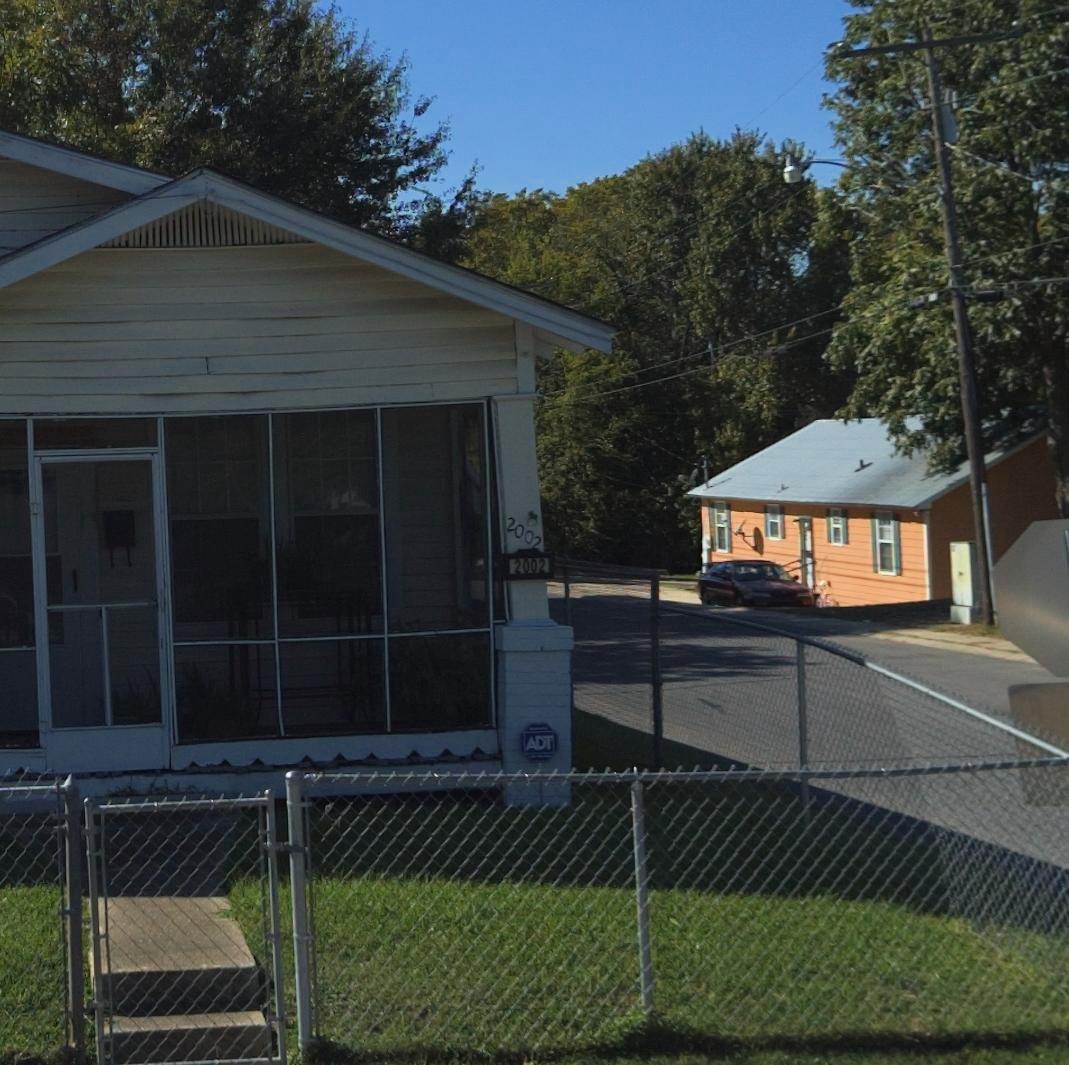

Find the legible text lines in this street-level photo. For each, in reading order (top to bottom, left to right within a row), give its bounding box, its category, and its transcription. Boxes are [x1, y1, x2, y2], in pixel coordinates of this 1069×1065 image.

[505, 515, 543, 551] StreetNumber: 2002
[511, 555, 548, 577] StreetNumber: 2002
[522, 732, 556, 753] None: ADT